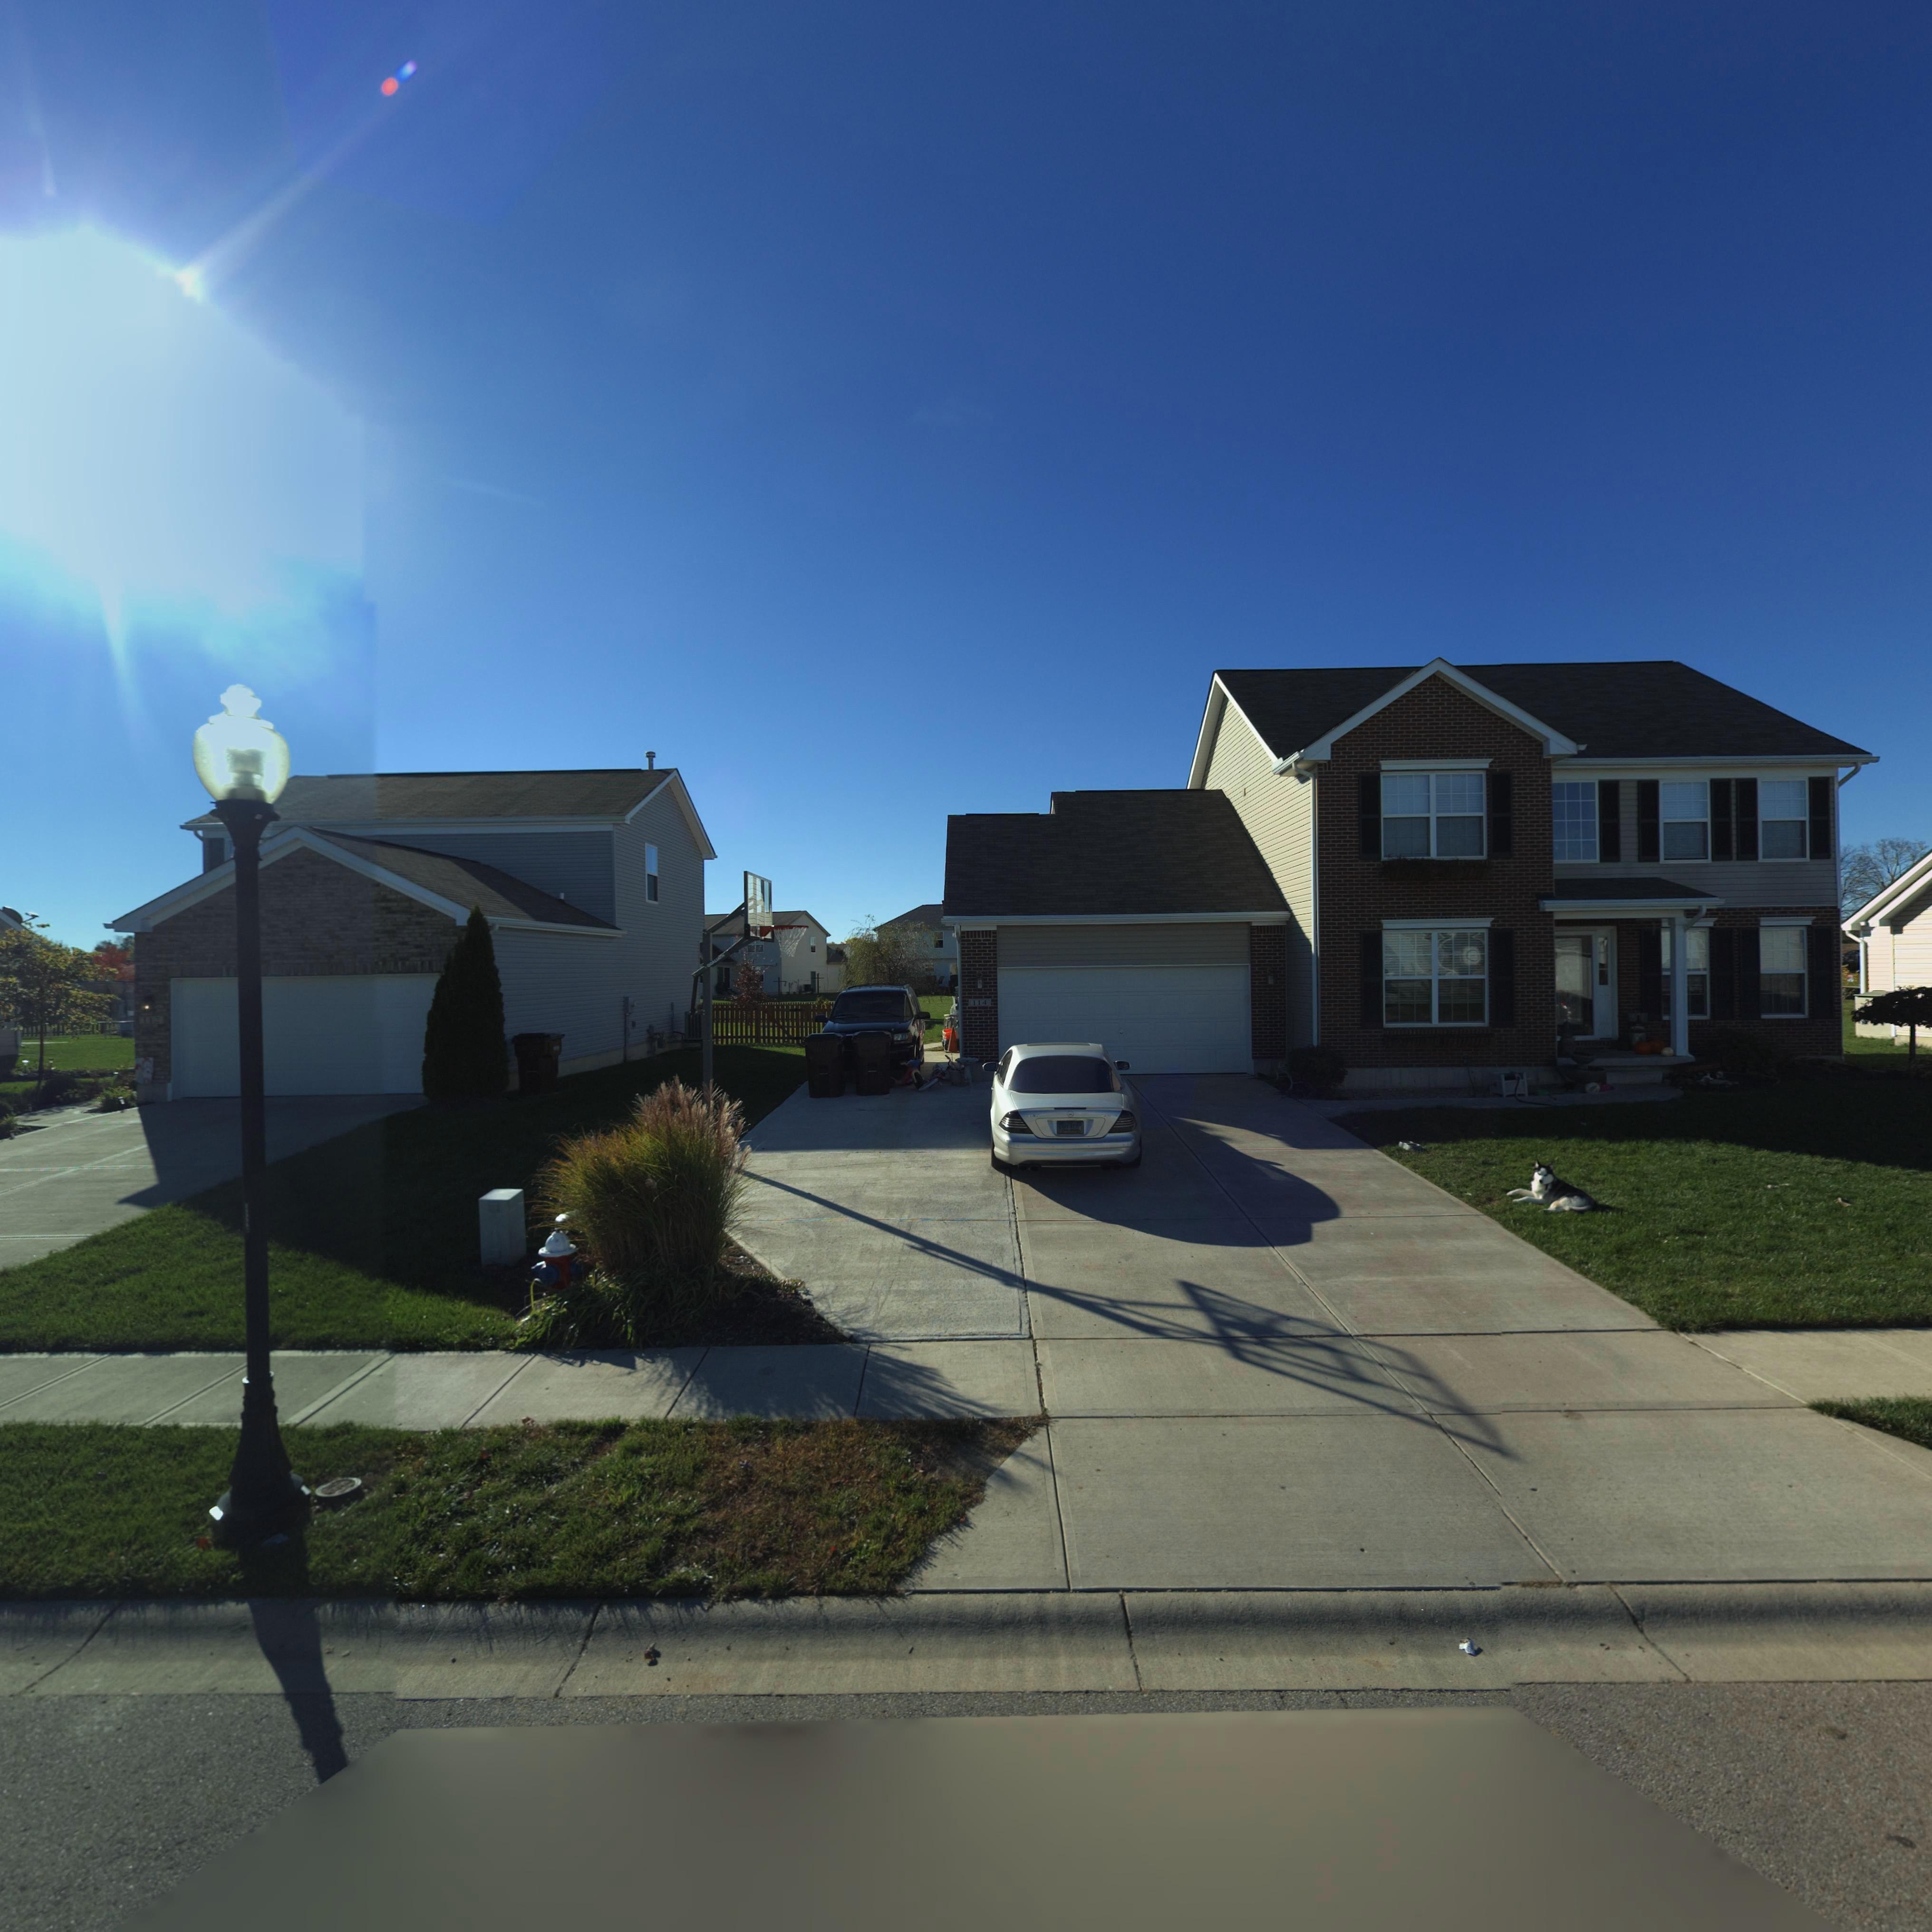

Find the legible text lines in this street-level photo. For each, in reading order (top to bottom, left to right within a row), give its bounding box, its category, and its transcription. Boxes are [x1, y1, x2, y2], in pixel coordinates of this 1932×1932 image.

[973, 999, 987, 1006] StreetNumber: 114